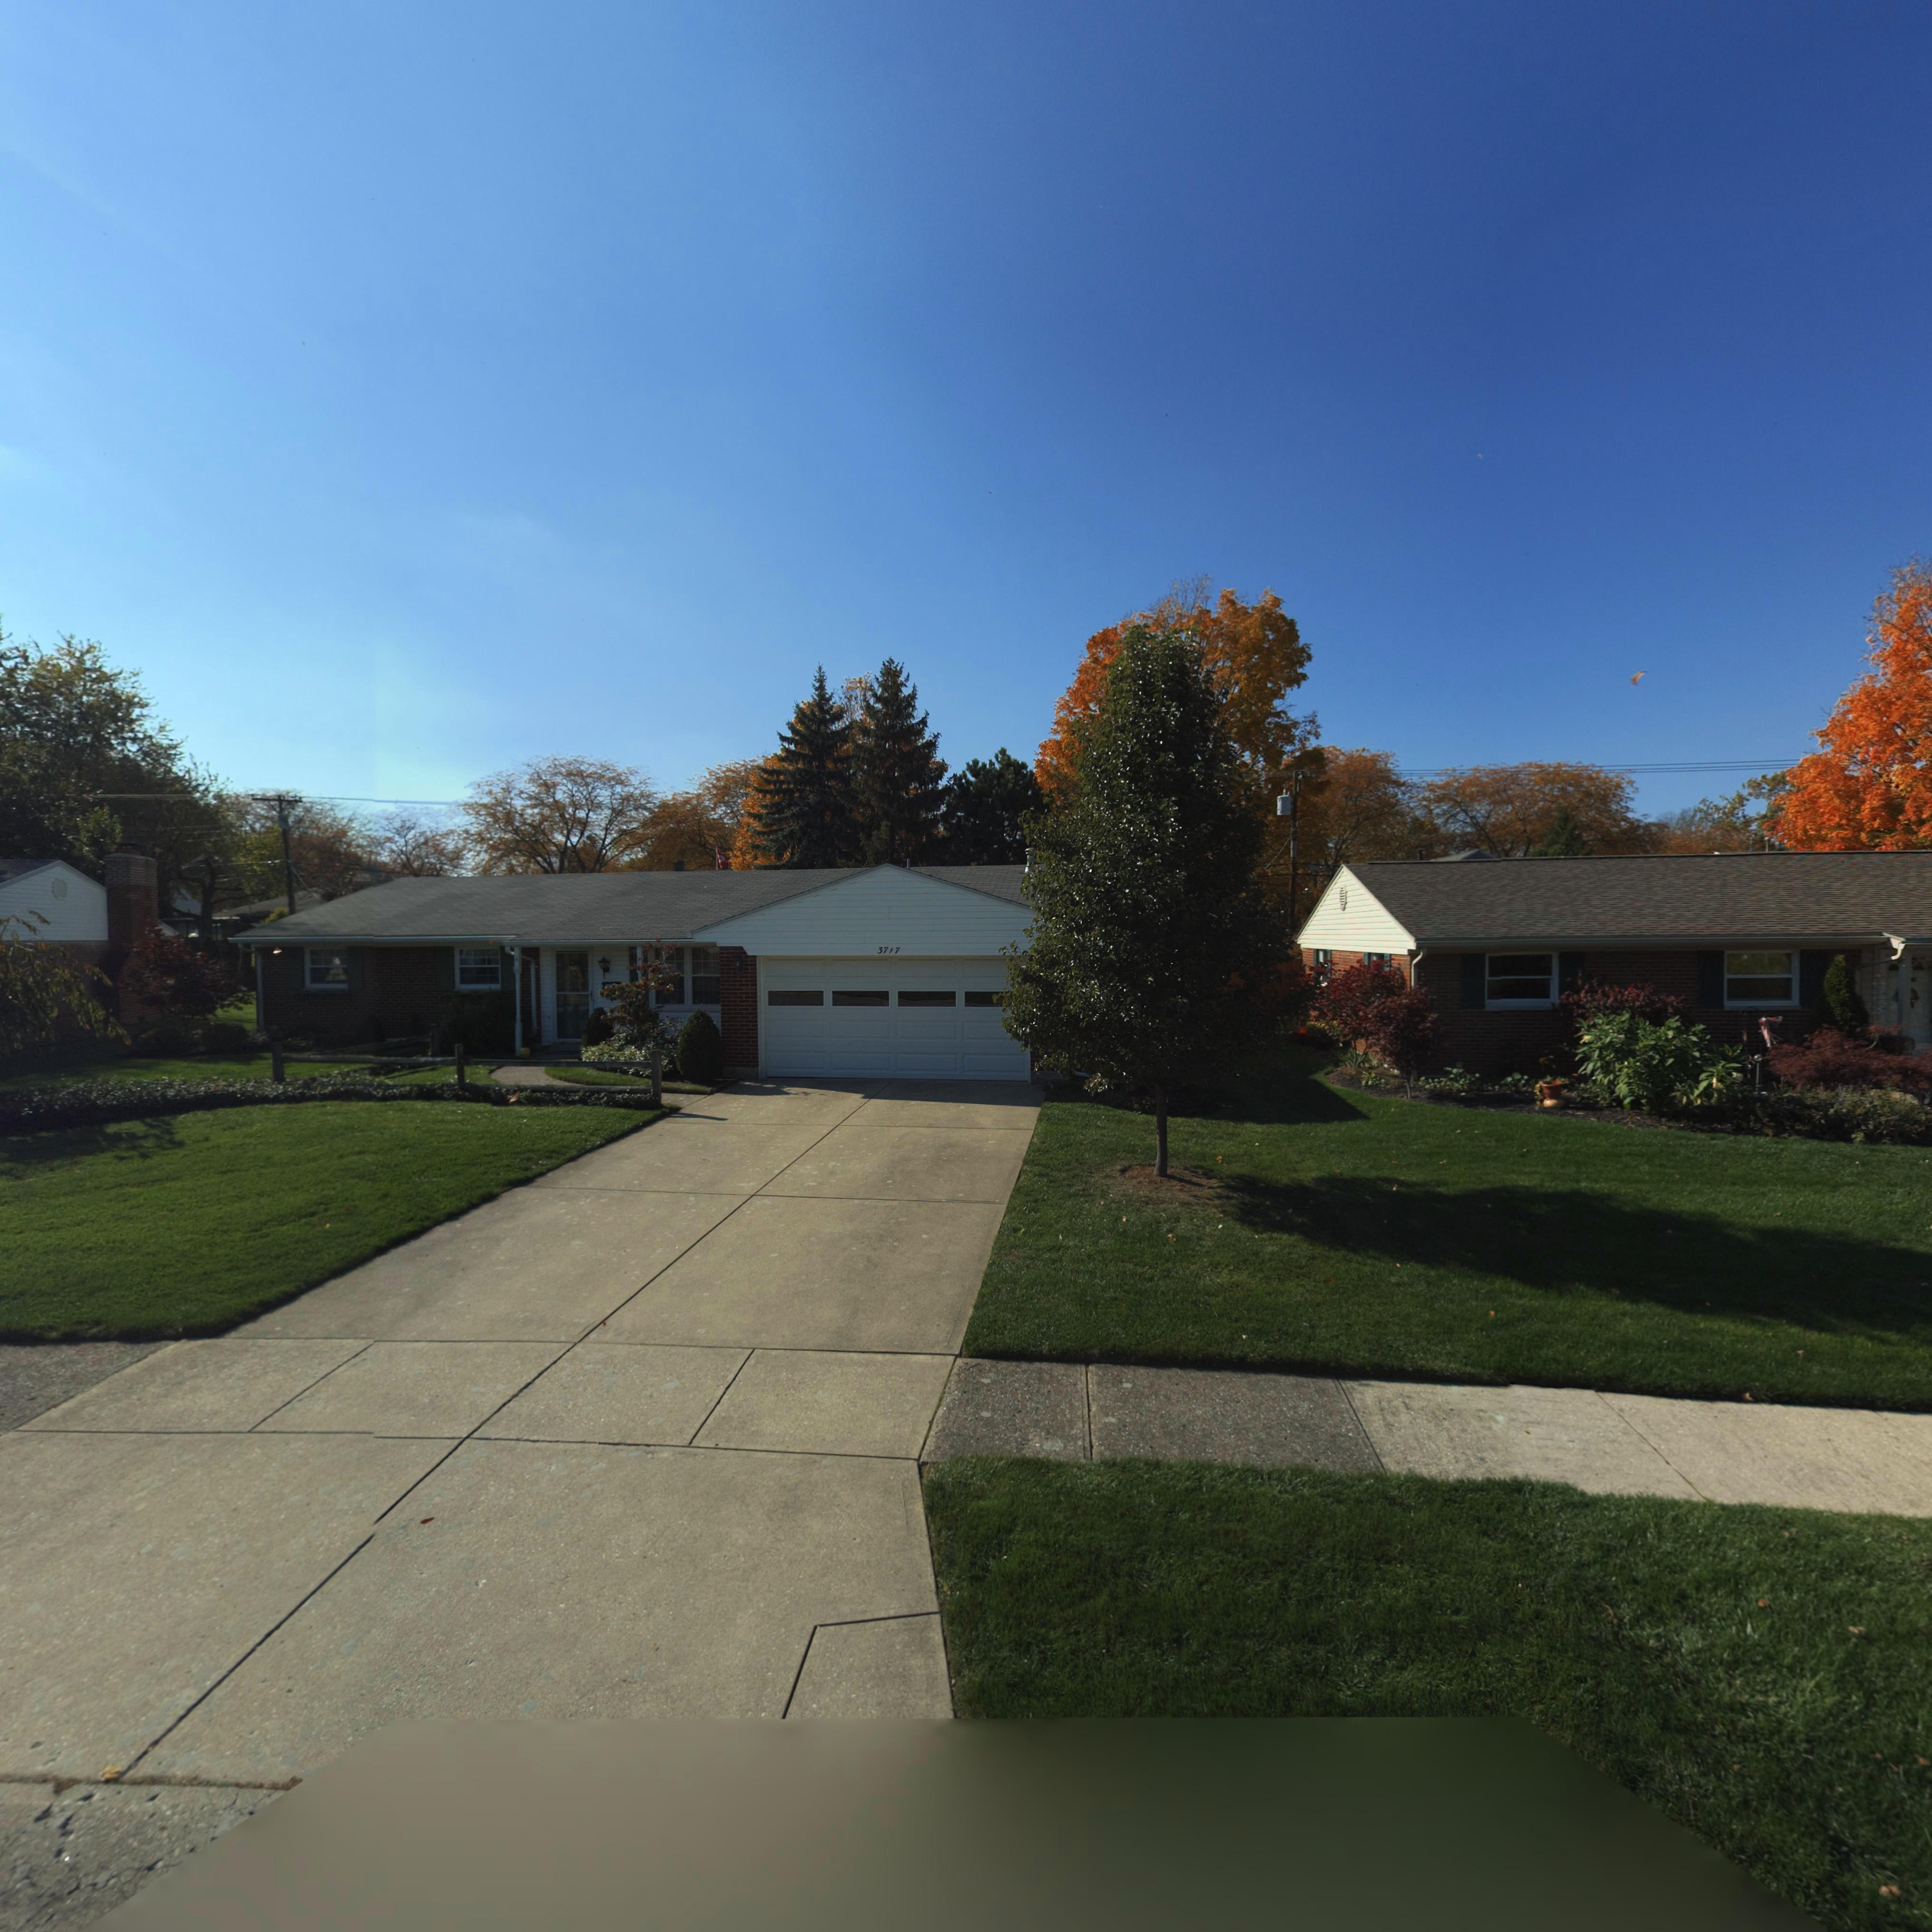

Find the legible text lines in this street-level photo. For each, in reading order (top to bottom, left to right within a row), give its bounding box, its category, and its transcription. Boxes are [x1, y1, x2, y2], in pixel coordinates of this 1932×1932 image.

[875, 946, 902, 955] StreetNumber: 3717